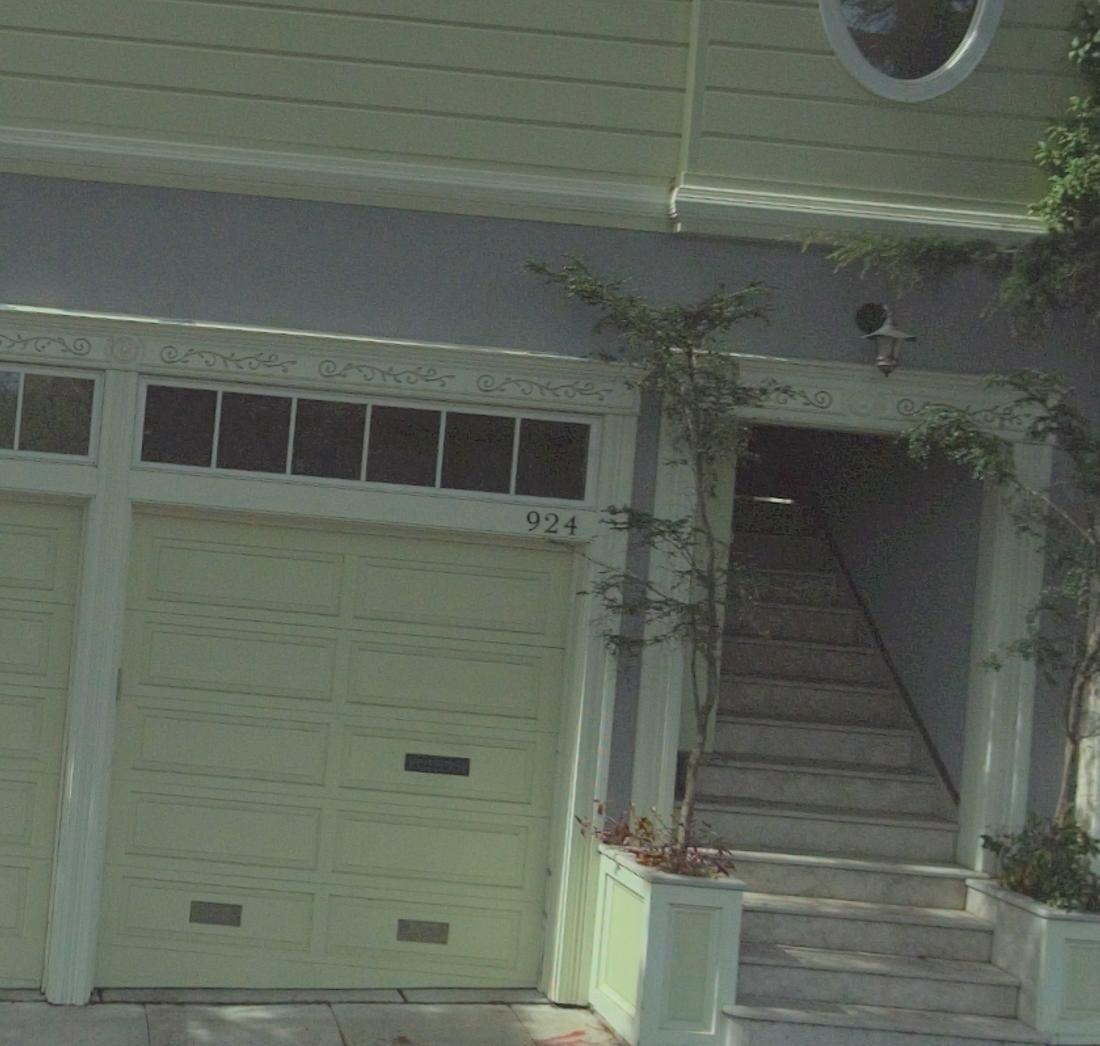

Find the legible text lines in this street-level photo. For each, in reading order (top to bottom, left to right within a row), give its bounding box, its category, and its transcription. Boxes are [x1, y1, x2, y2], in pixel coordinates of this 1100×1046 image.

[524, 509, 581, 538] StreetNumber: 924